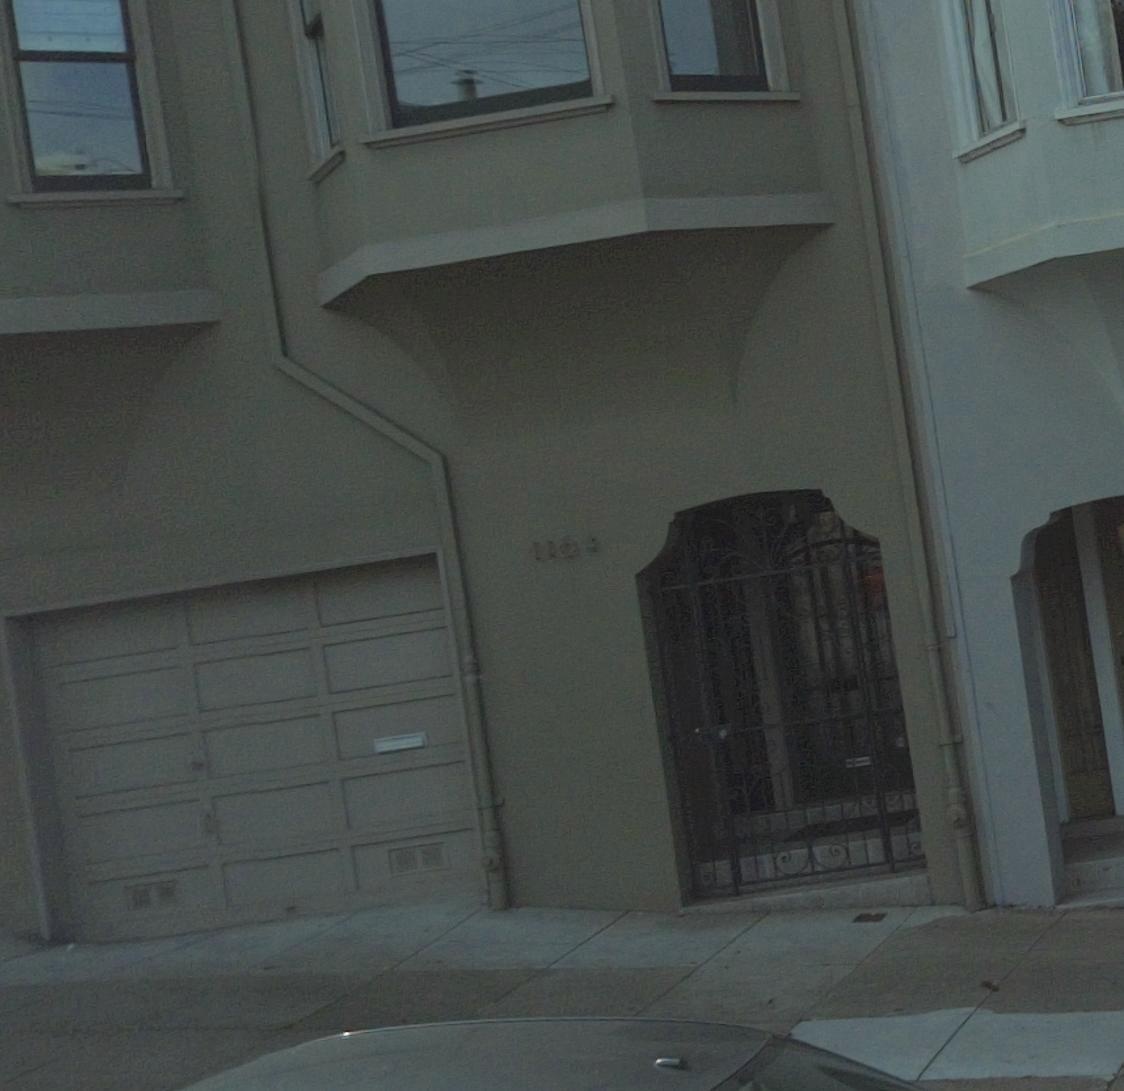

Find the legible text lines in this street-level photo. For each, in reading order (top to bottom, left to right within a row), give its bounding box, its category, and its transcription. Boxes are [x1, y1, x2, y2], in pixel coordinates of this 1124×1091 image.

[530, 528, 600, 567] StreetNumber: 1104